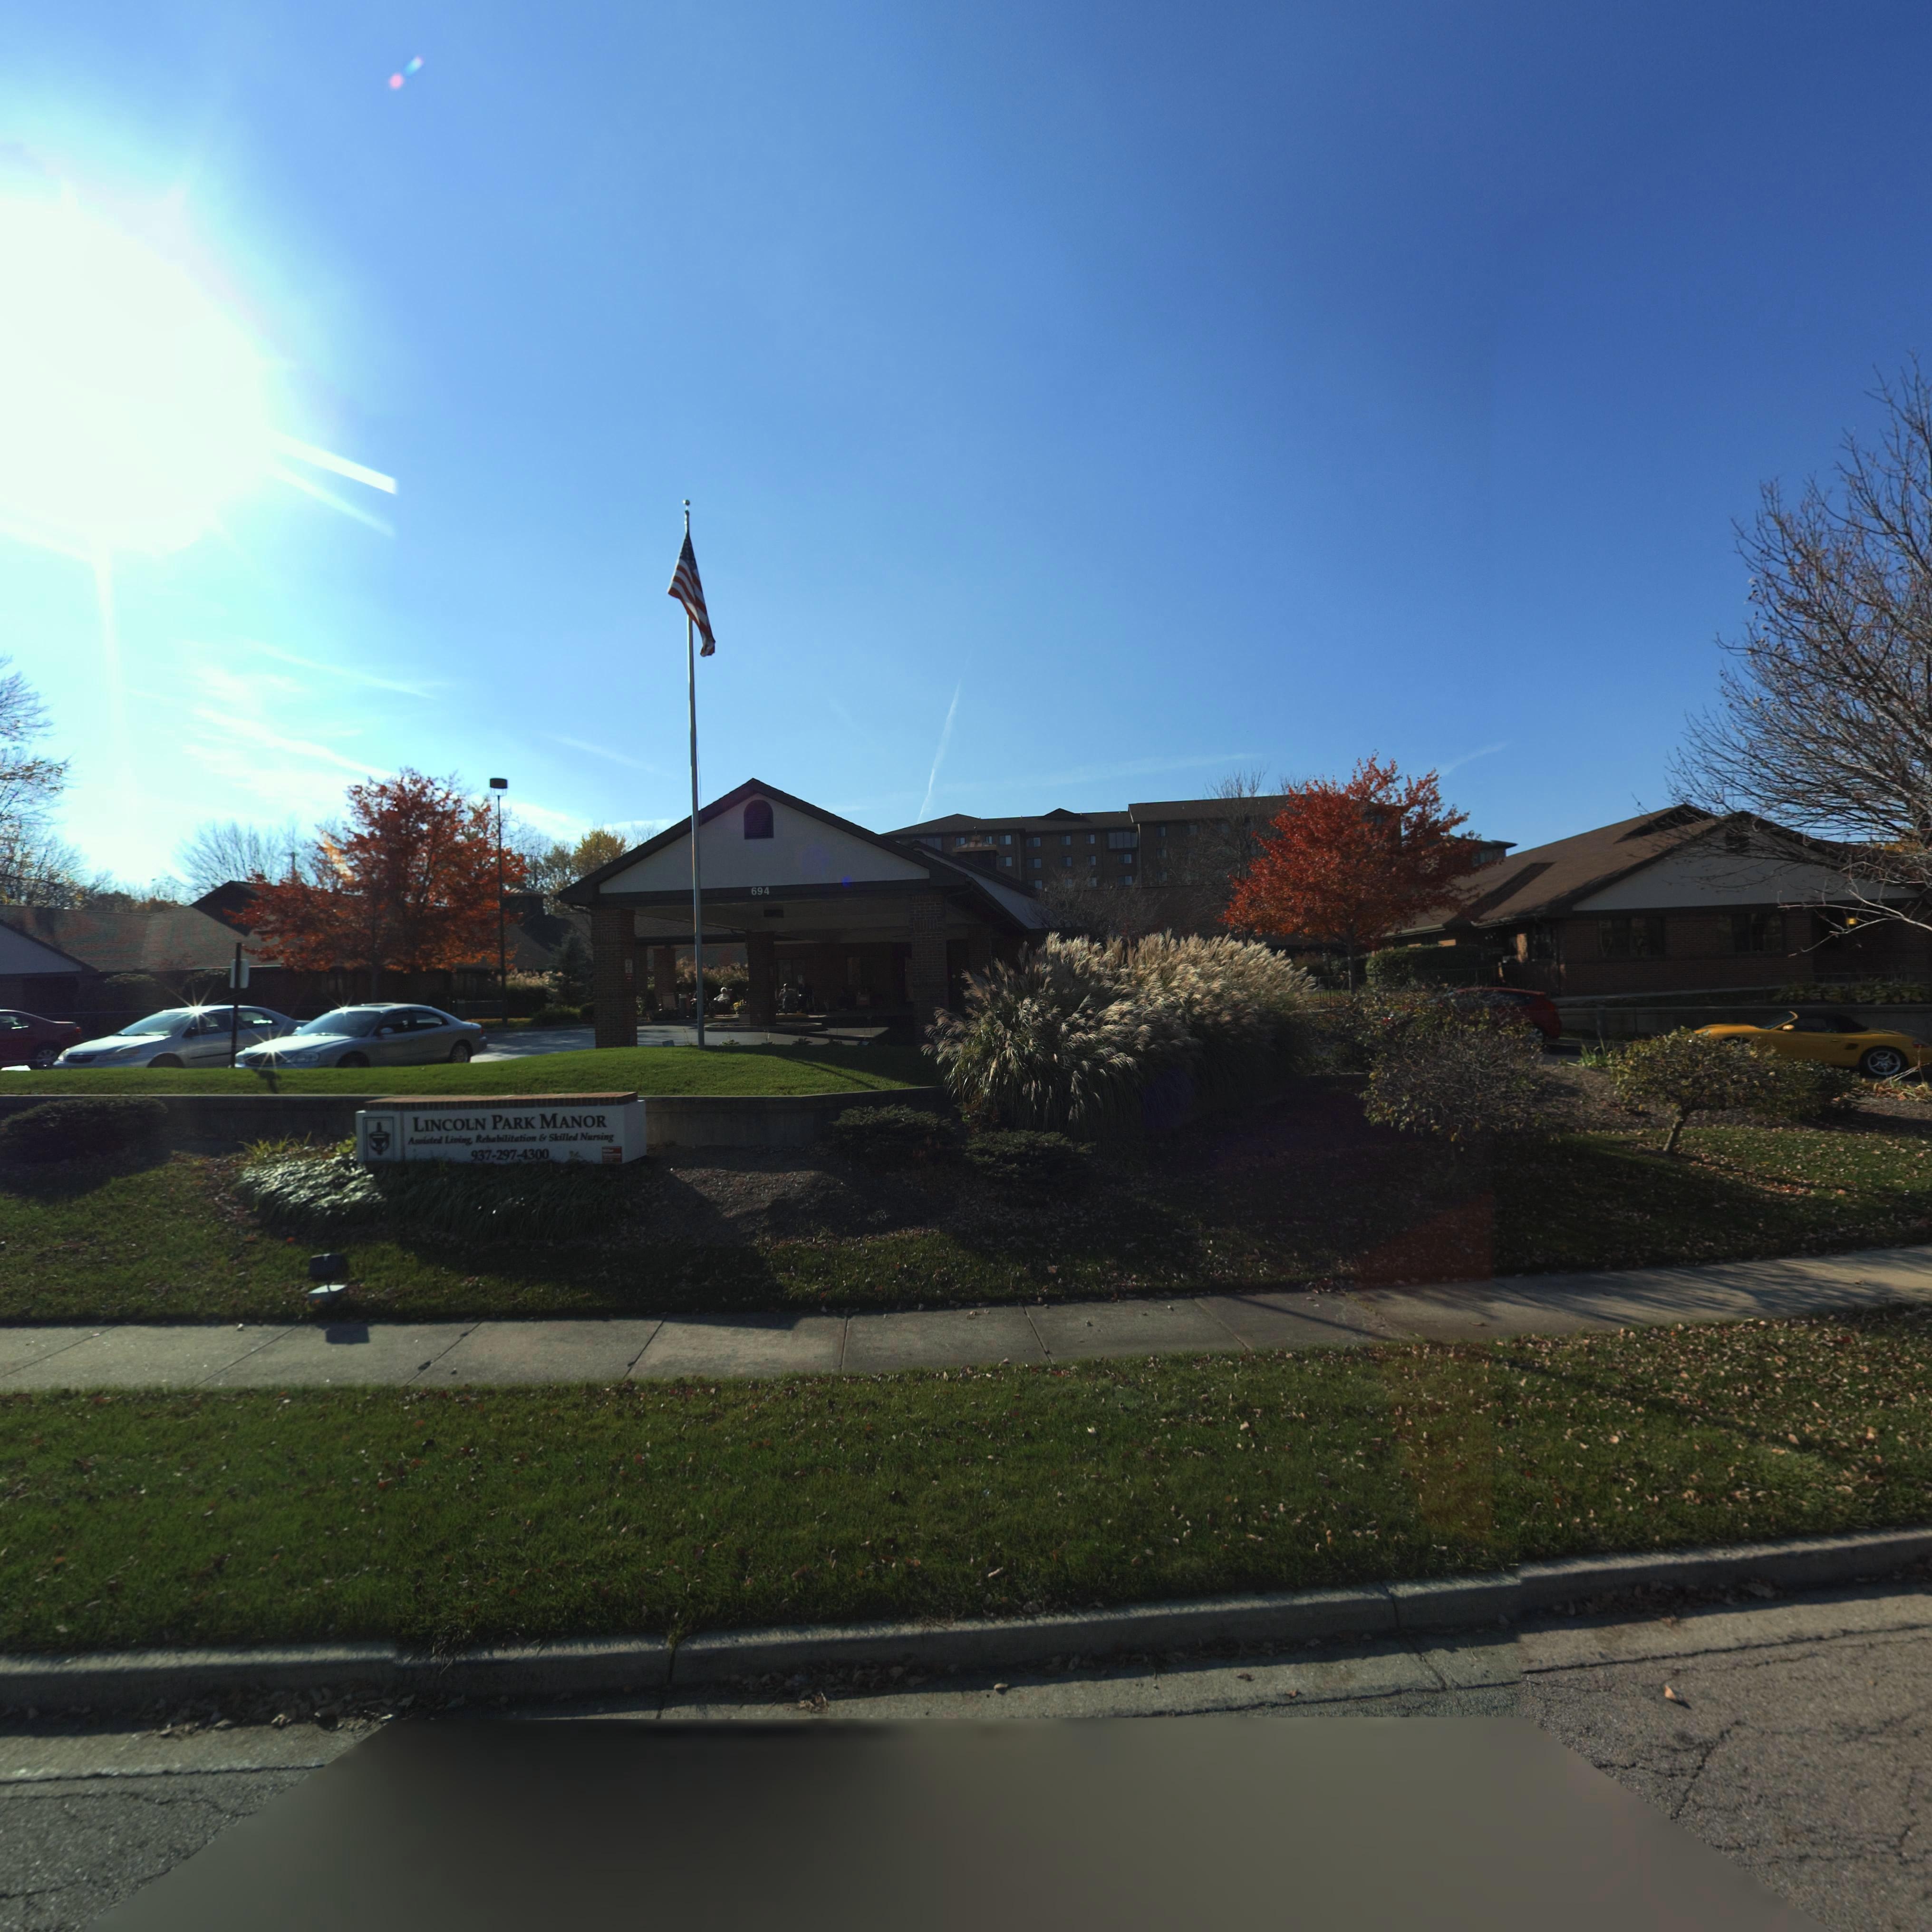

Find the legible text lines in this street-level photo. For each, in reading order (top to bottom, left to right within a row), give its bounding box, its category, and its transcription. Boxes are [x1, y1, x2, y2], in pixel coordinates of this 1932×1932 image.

[751, 886, 770, 896] StreetNumber: 694
[411, 1111, 609, 1134] BusinessName: LINCOLN PARK MANOR